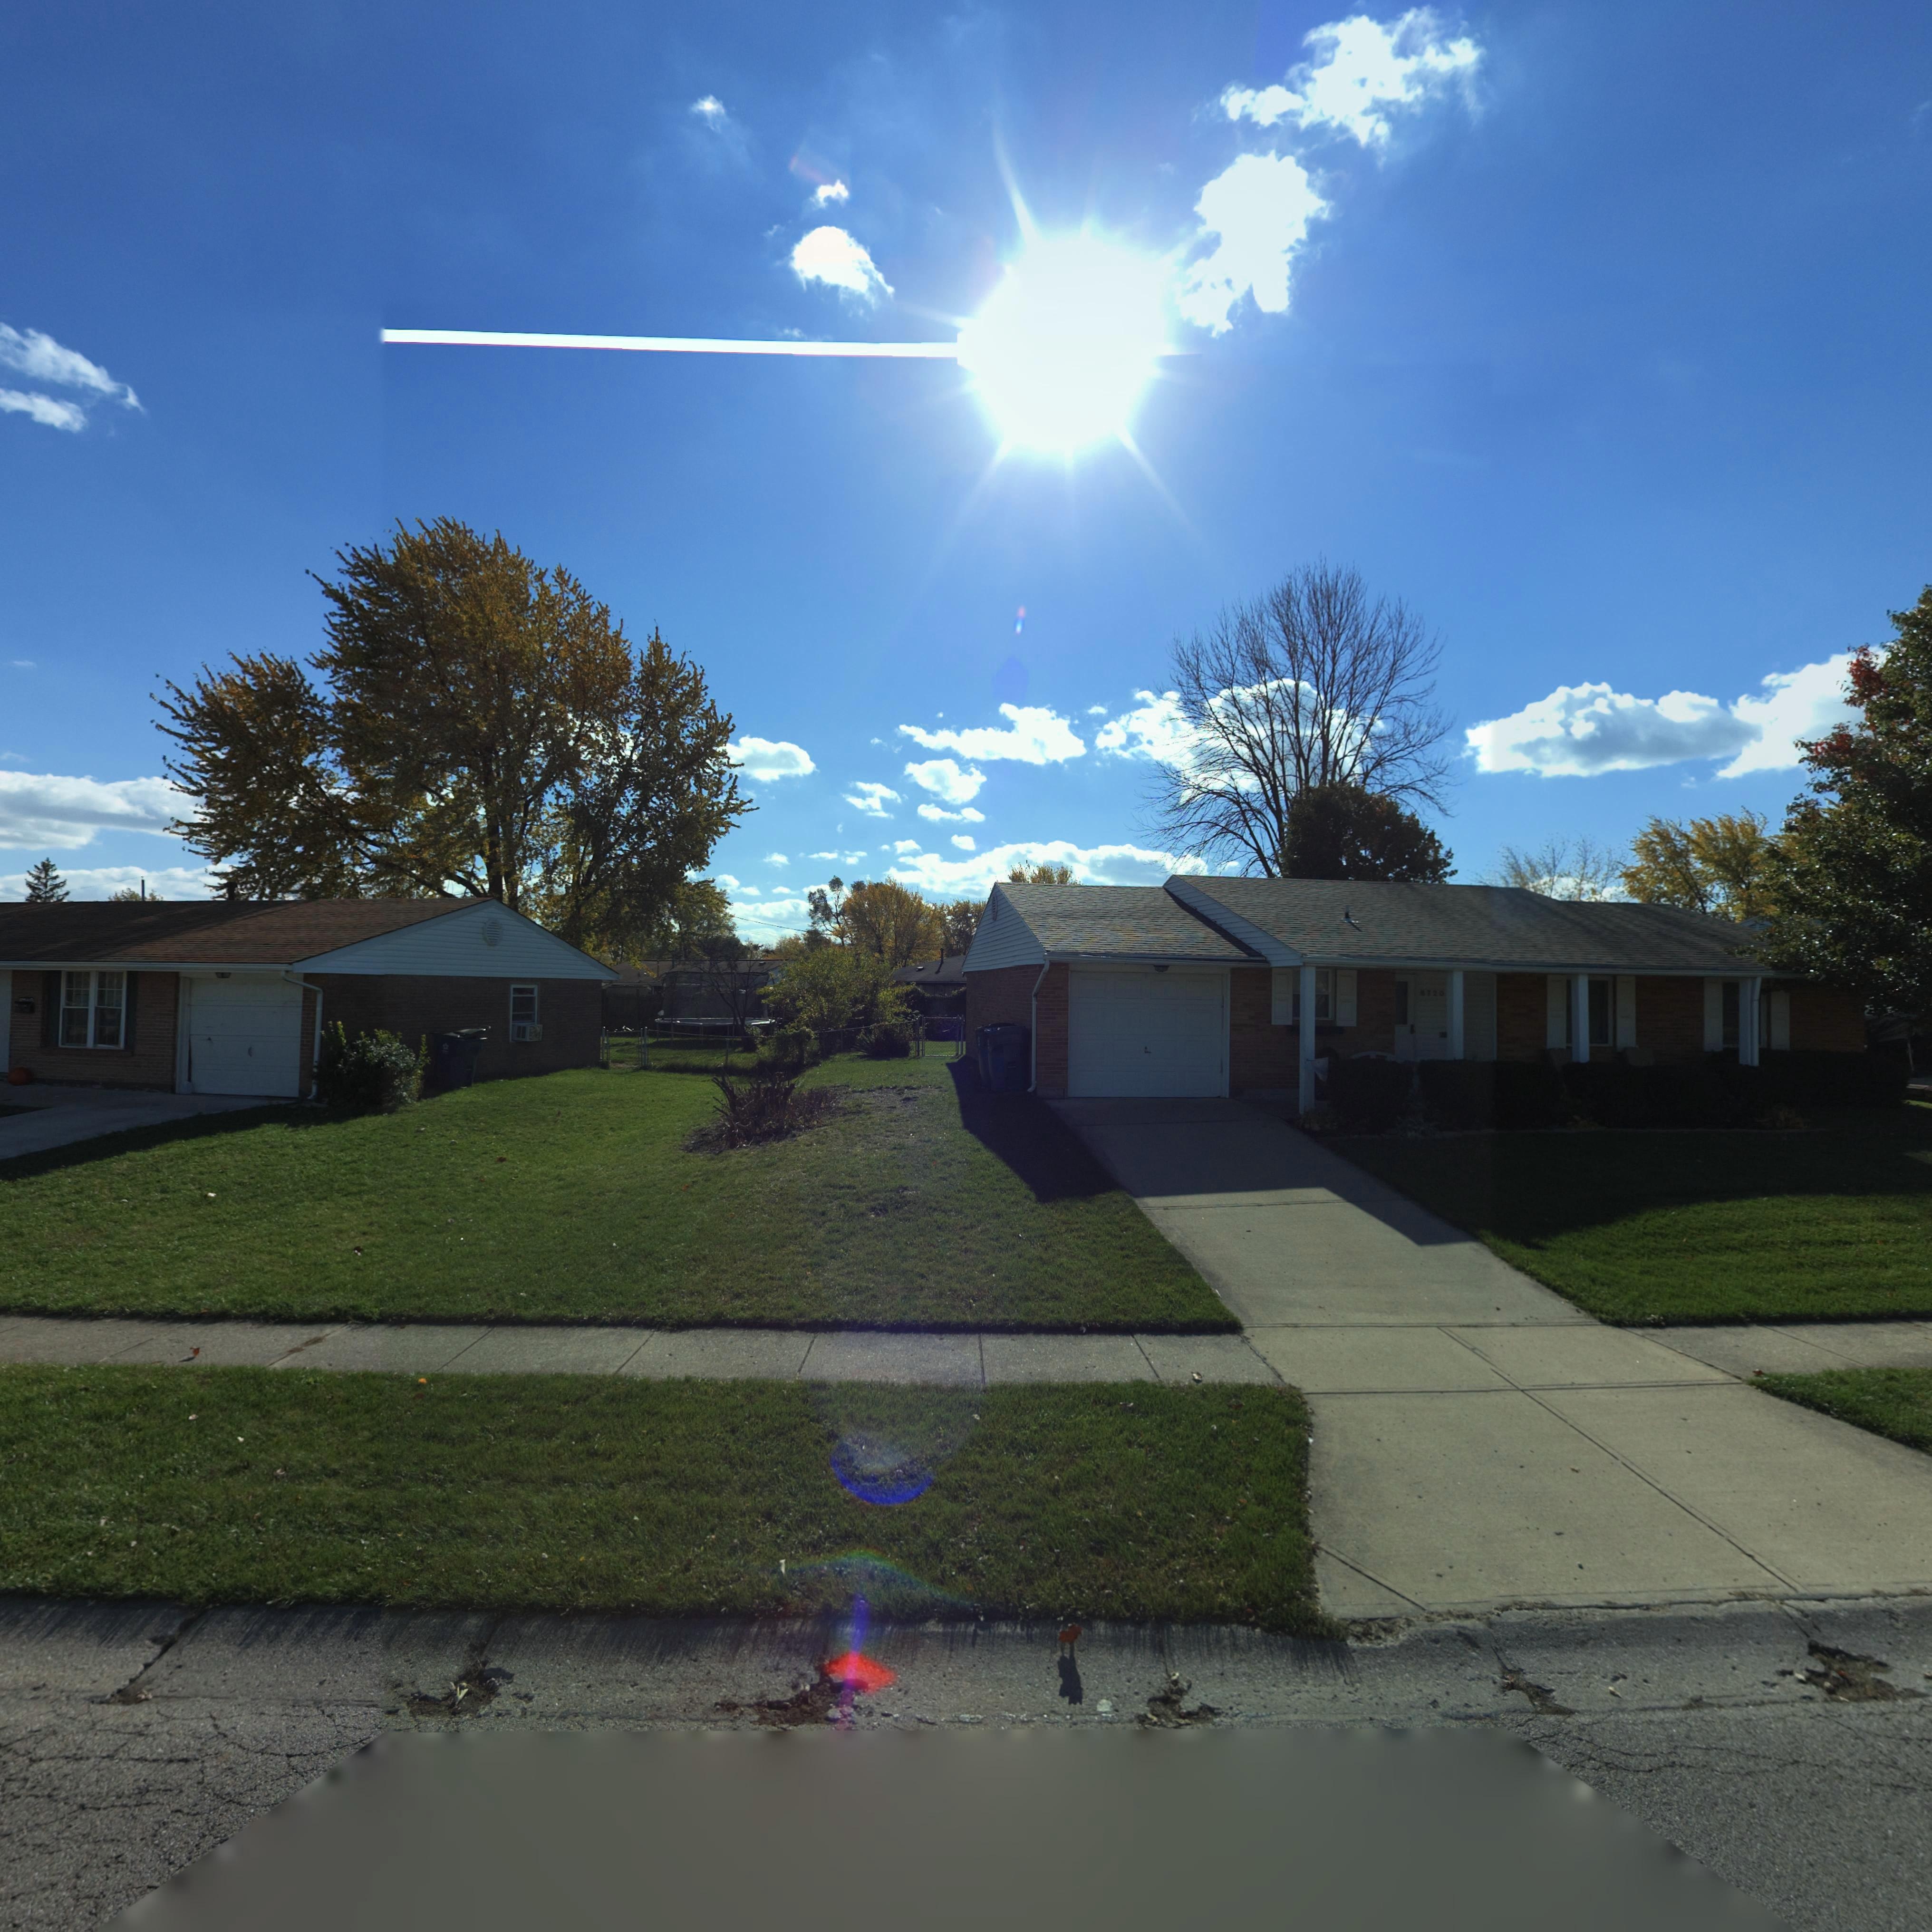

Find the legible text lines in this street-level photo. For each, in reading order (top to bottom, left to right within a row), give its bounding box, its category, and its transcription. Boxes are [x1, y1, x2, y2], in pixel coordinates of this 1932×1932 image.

[1419, 989, 1446, 998] StreetNumber: *720